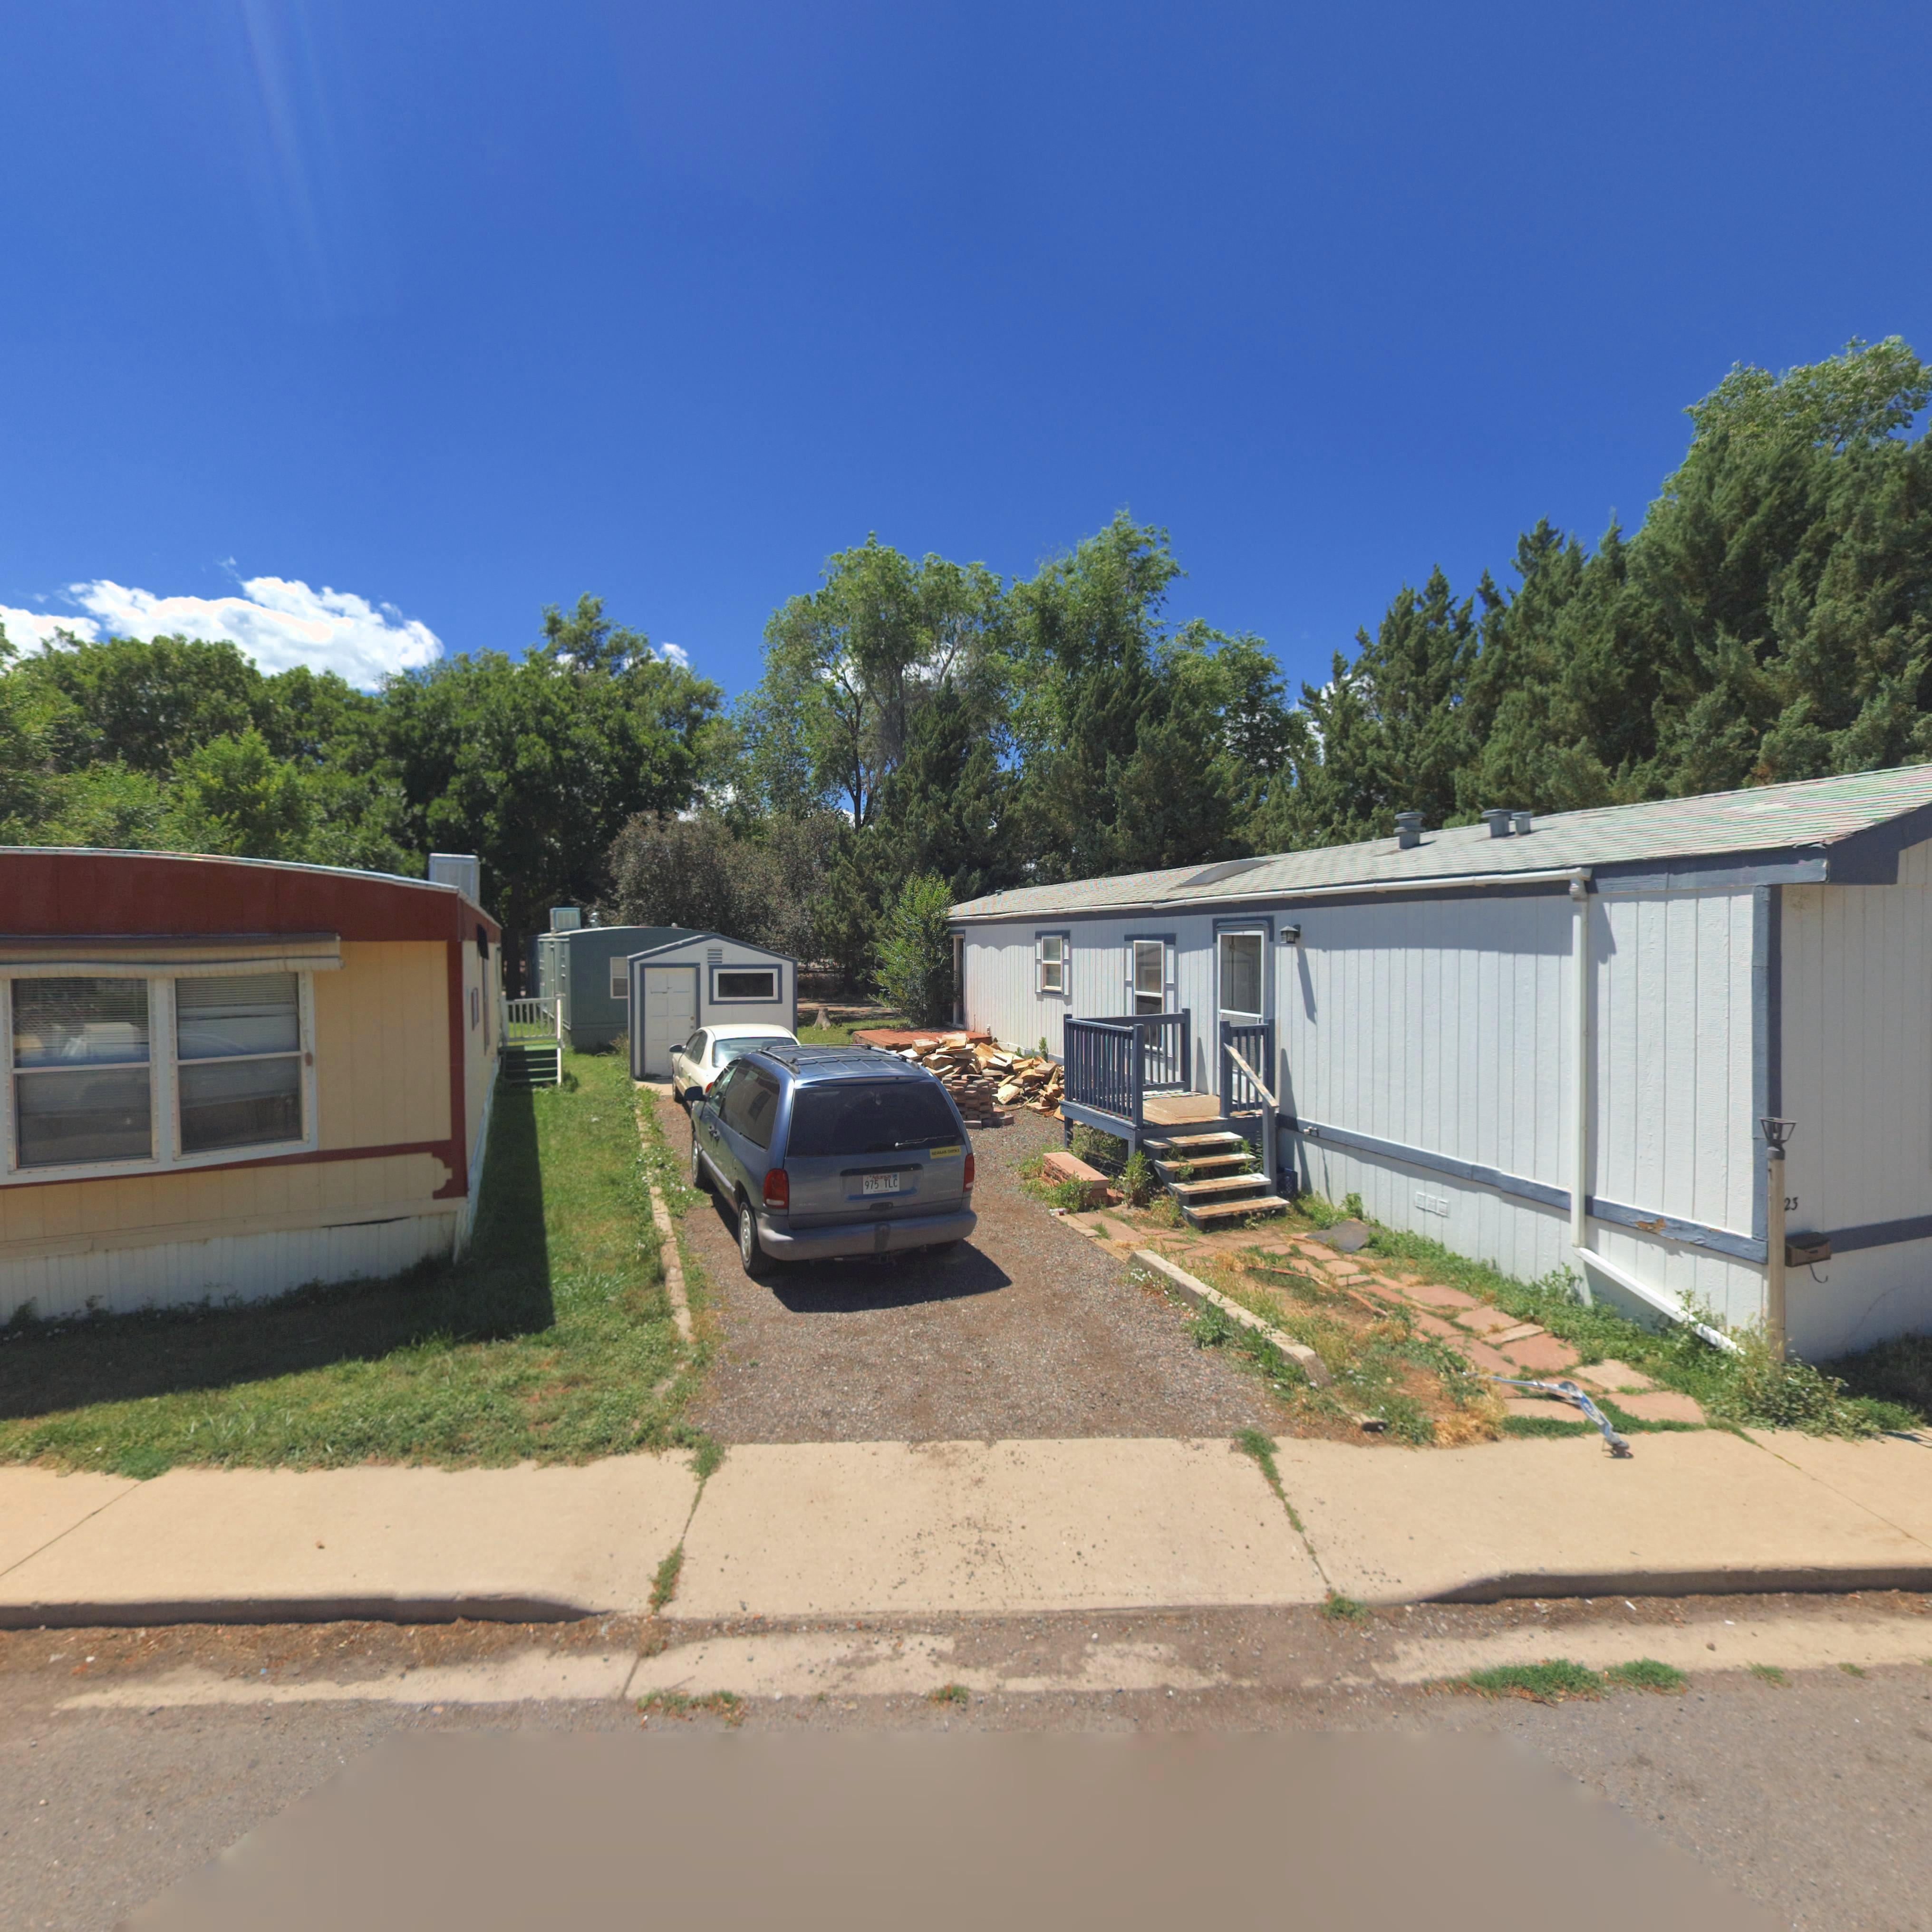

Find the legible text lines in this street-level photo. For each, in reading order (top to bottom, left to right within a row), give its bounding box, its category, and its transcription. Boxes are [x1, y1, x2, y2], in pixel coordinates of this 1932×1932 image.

[1784, 1196, 1798, 1211] StreetNumber: 23